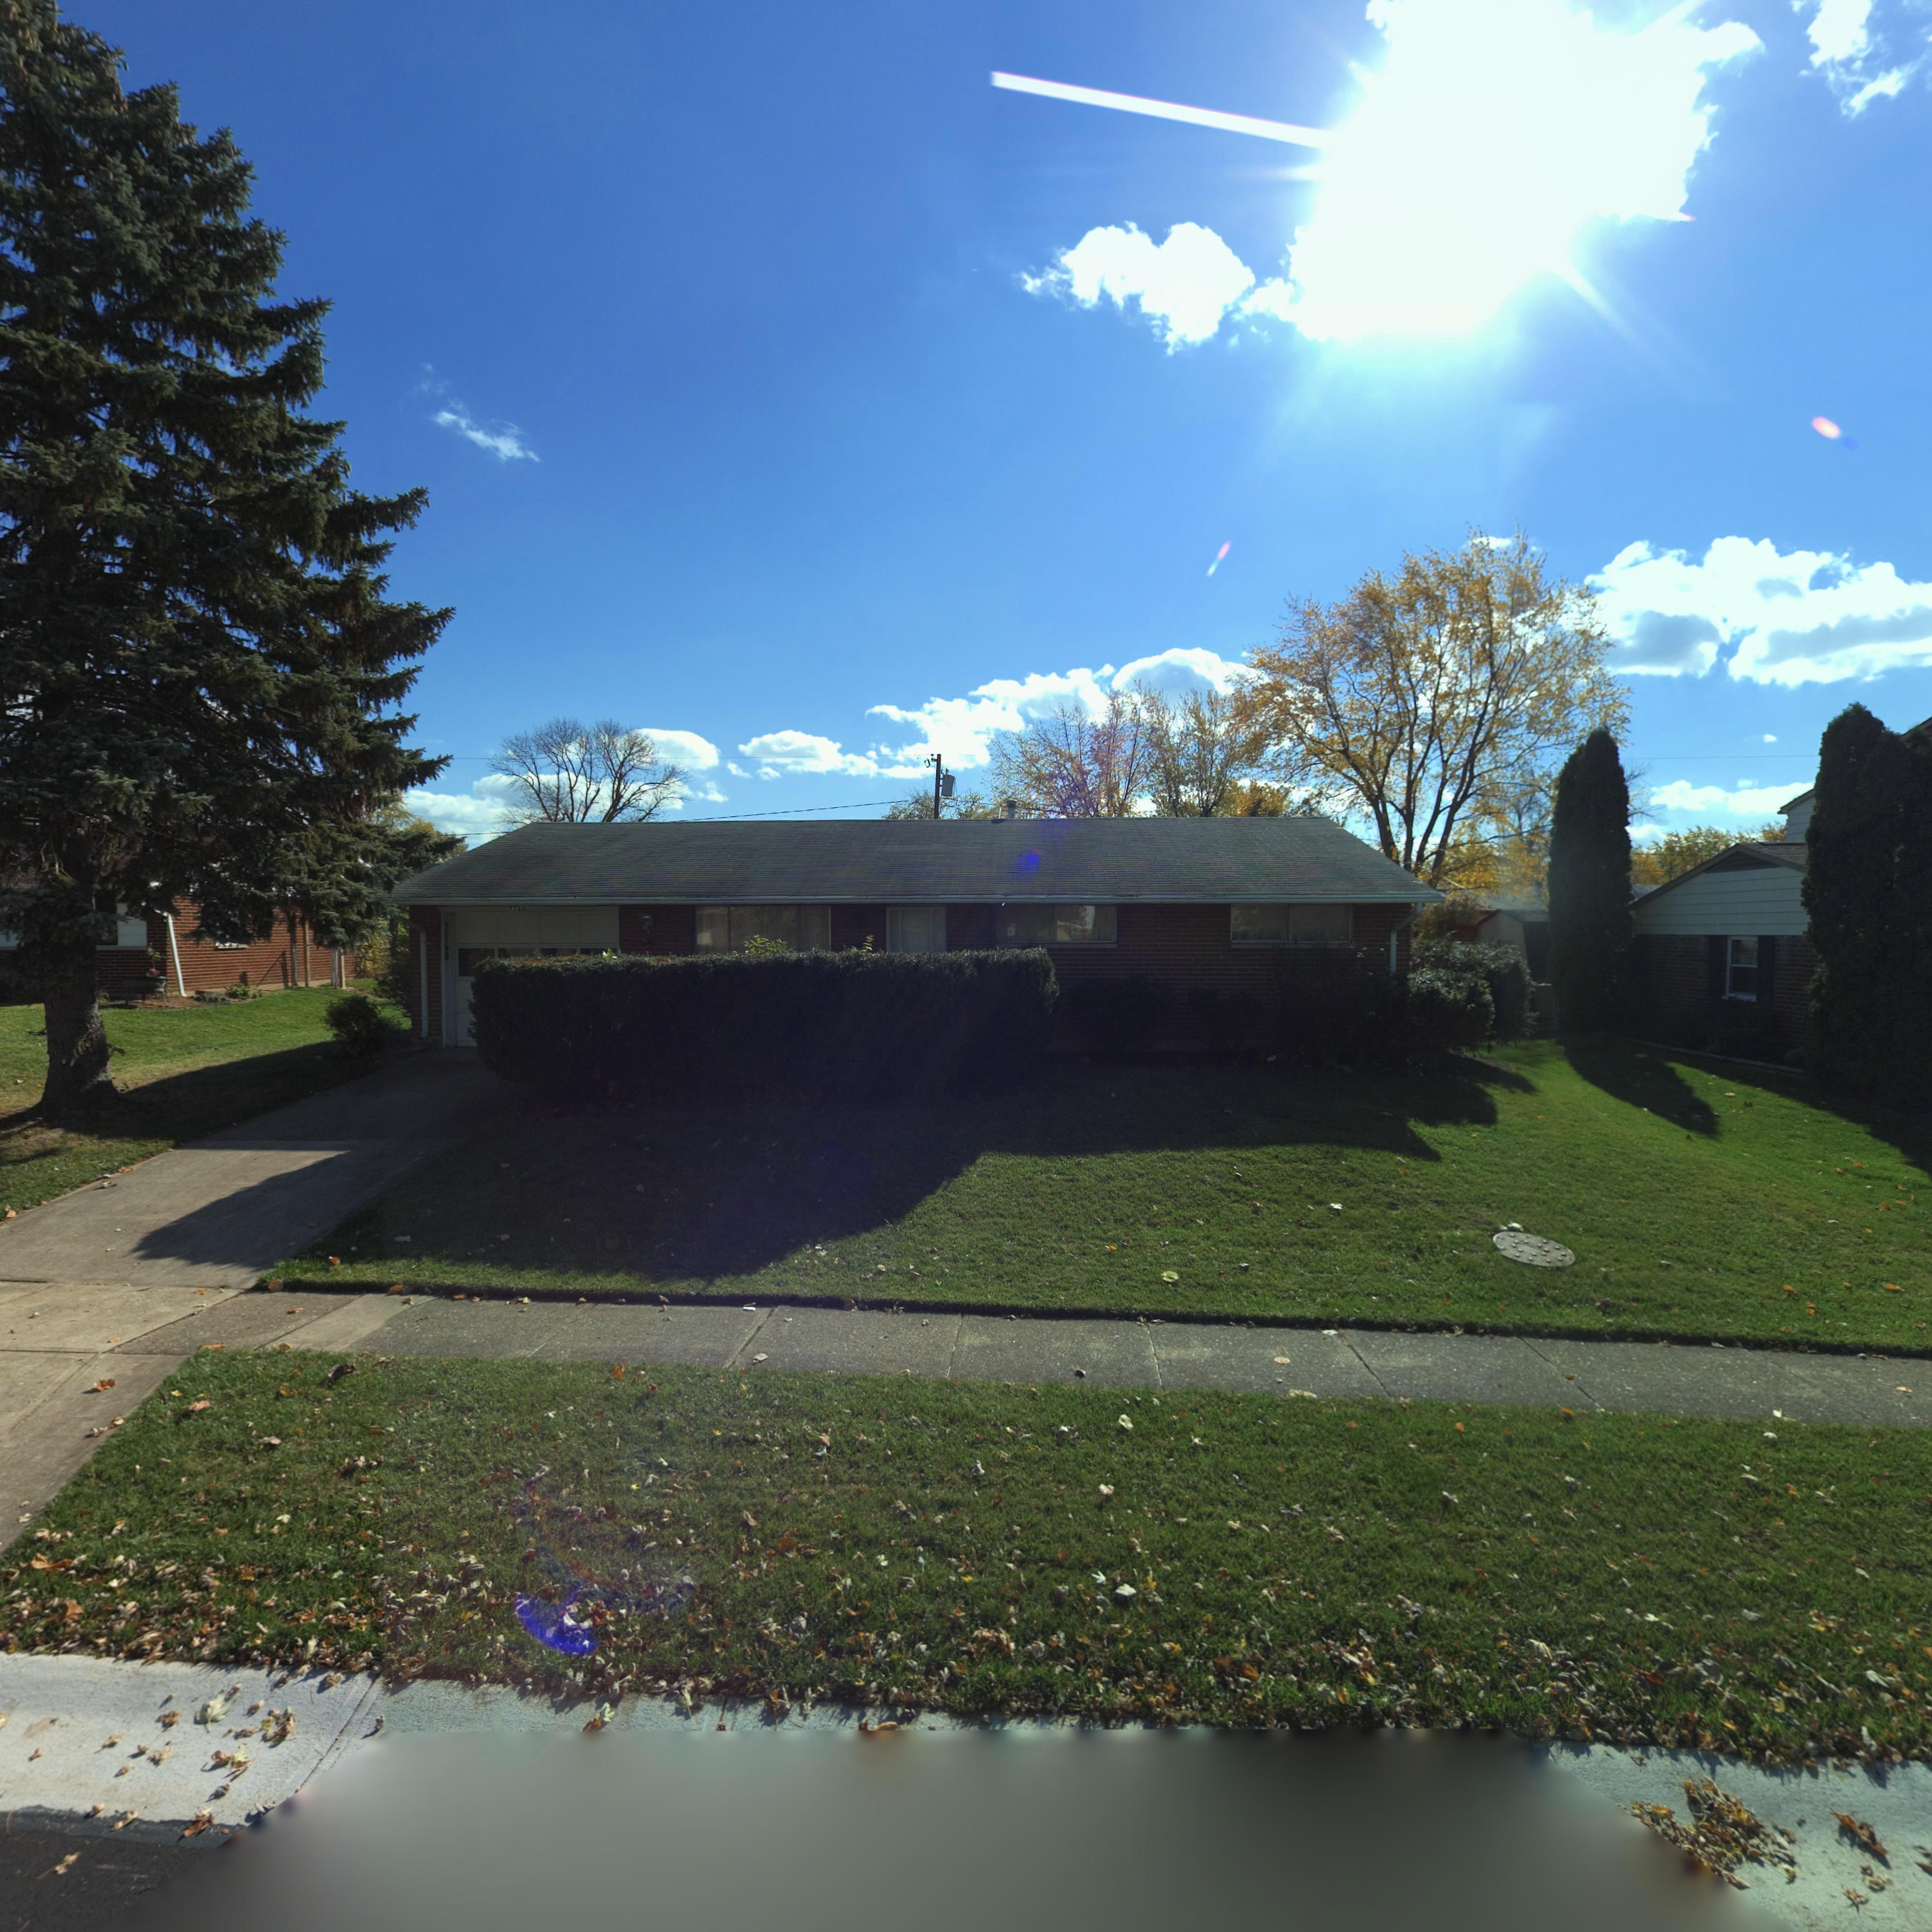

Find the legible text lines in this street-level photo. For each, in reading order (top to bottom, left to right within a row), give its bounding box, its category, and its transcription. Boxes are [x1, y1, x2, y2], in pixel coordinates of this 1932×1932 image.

[508, 906, 525, 912] StreetNumber: 7760
[444, 922, 450, 961] StreetNumber: 7760